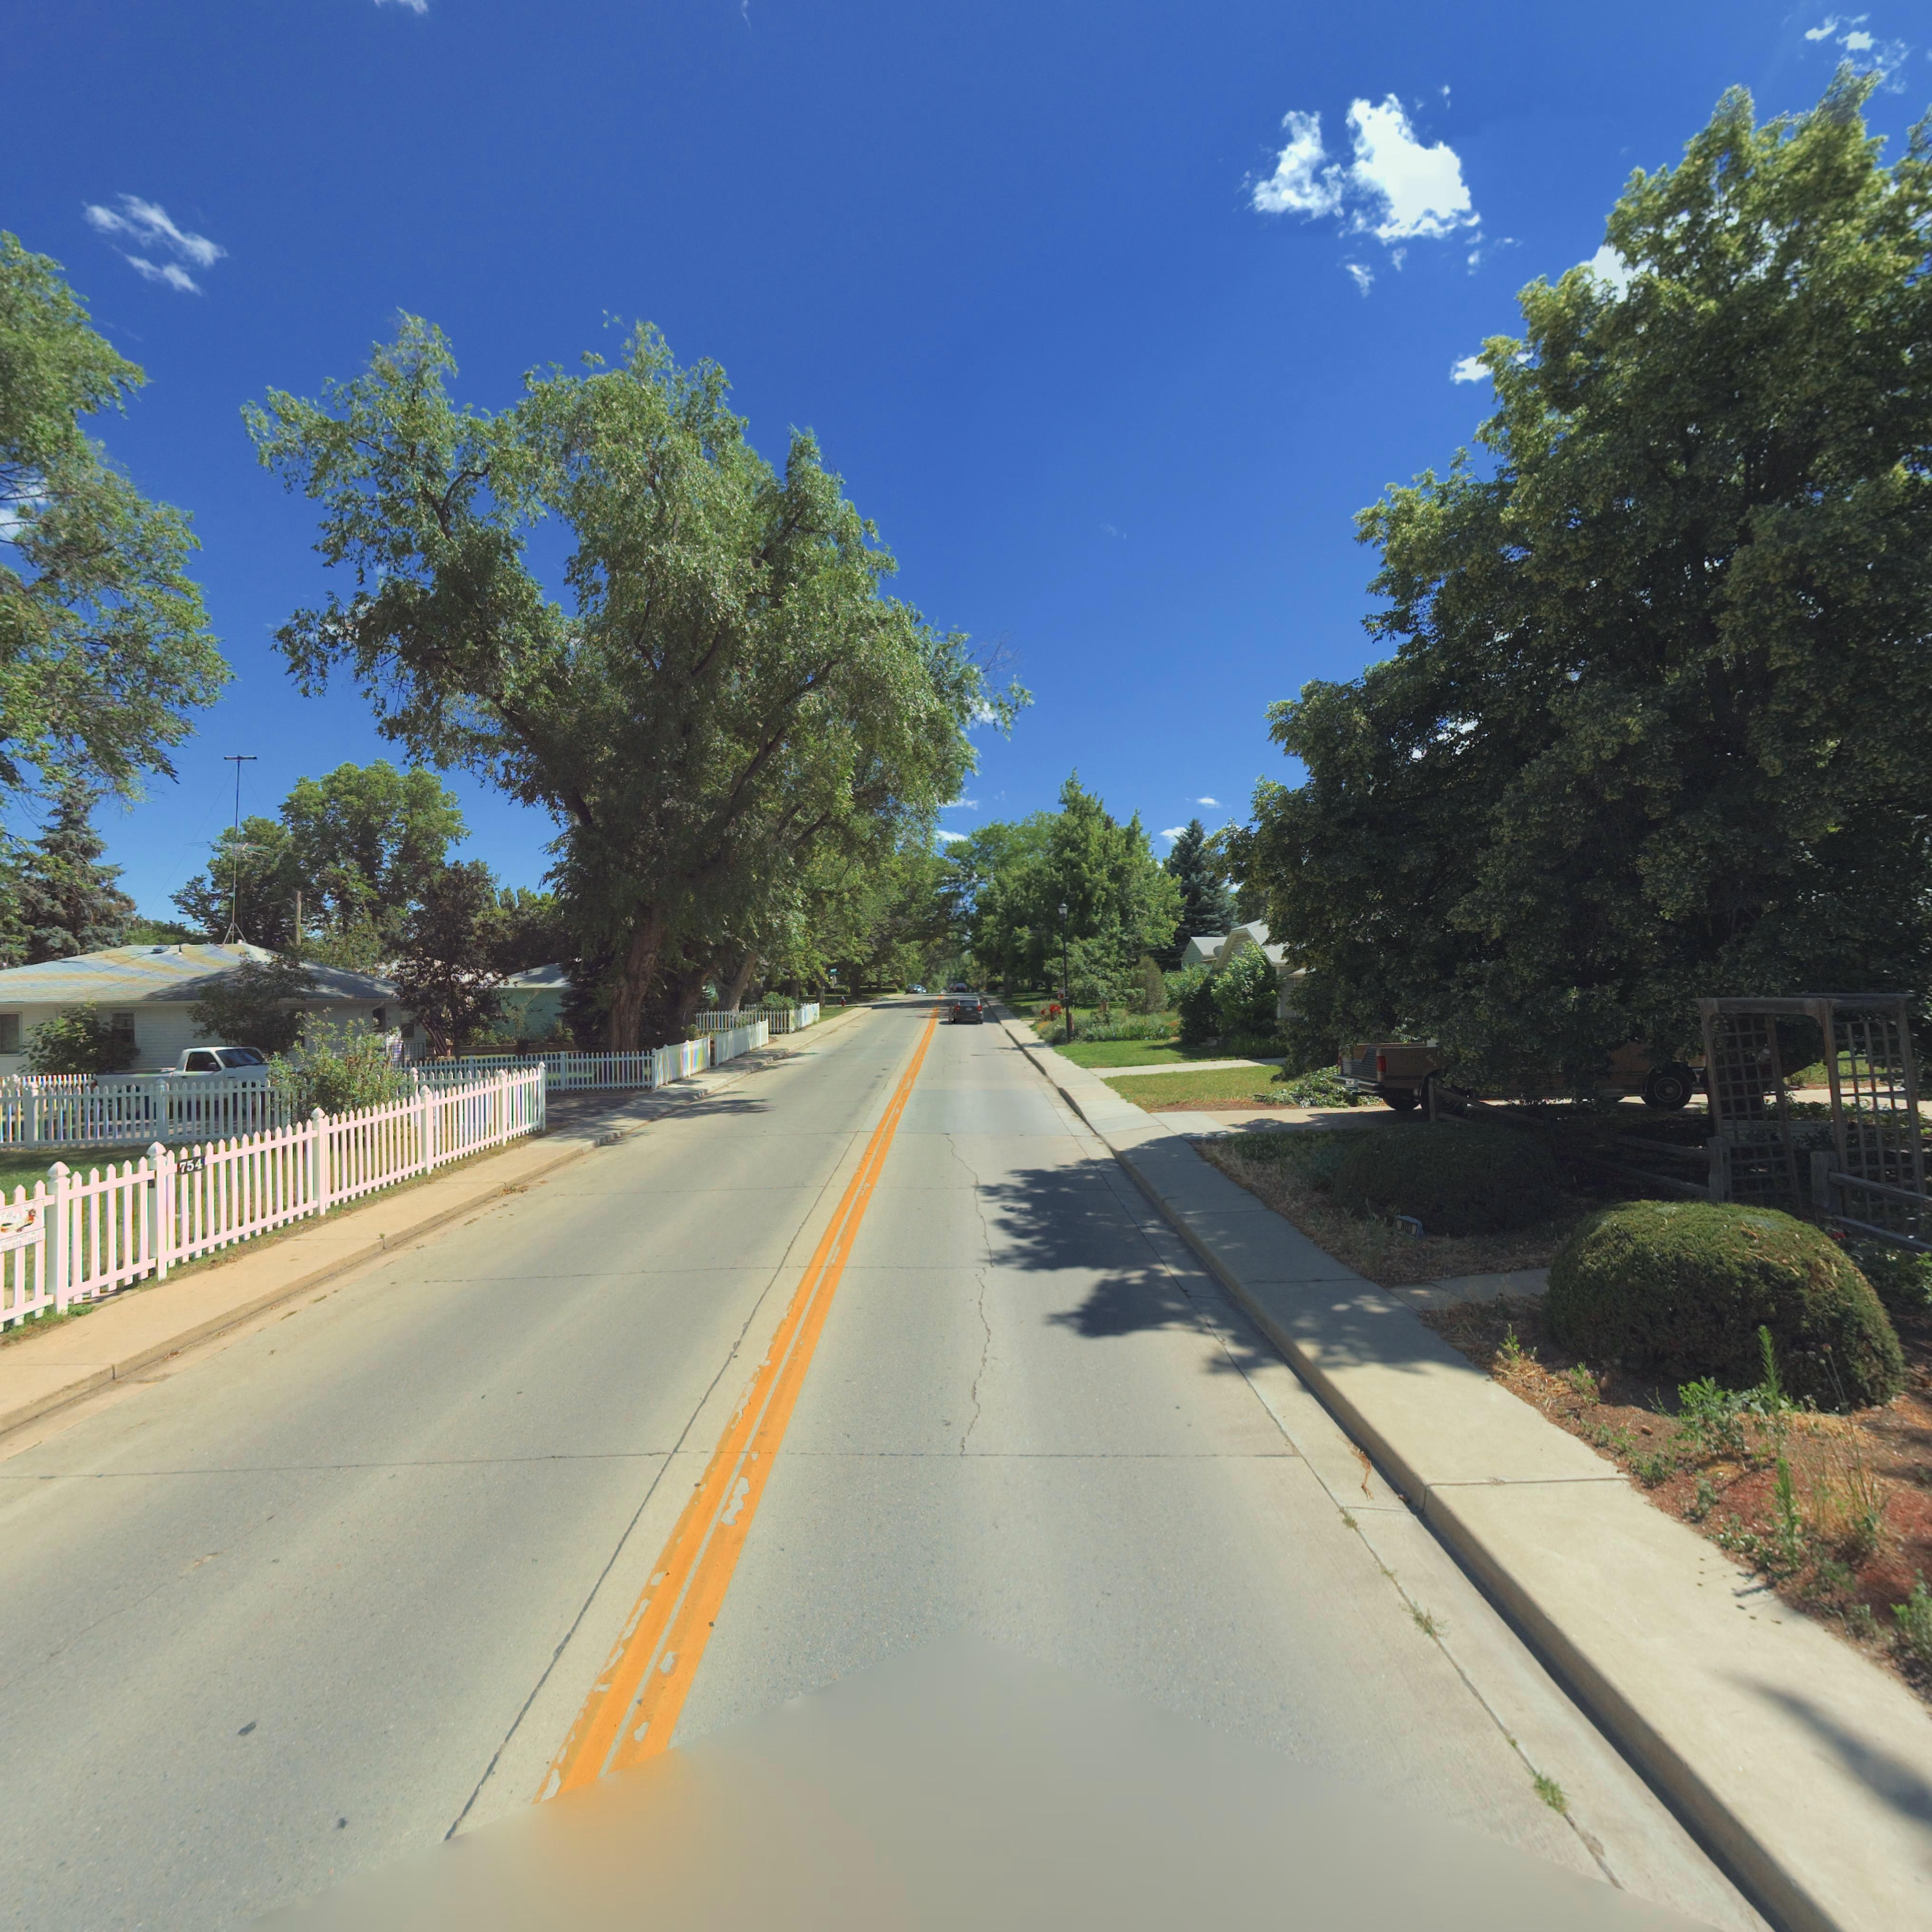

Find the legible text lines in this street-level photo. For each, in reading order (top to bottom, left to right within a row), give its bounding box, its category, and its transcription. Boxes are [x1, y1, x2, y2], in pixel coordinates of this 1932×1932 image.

[179, 1159, 202, 1173] StreetNumber: 754